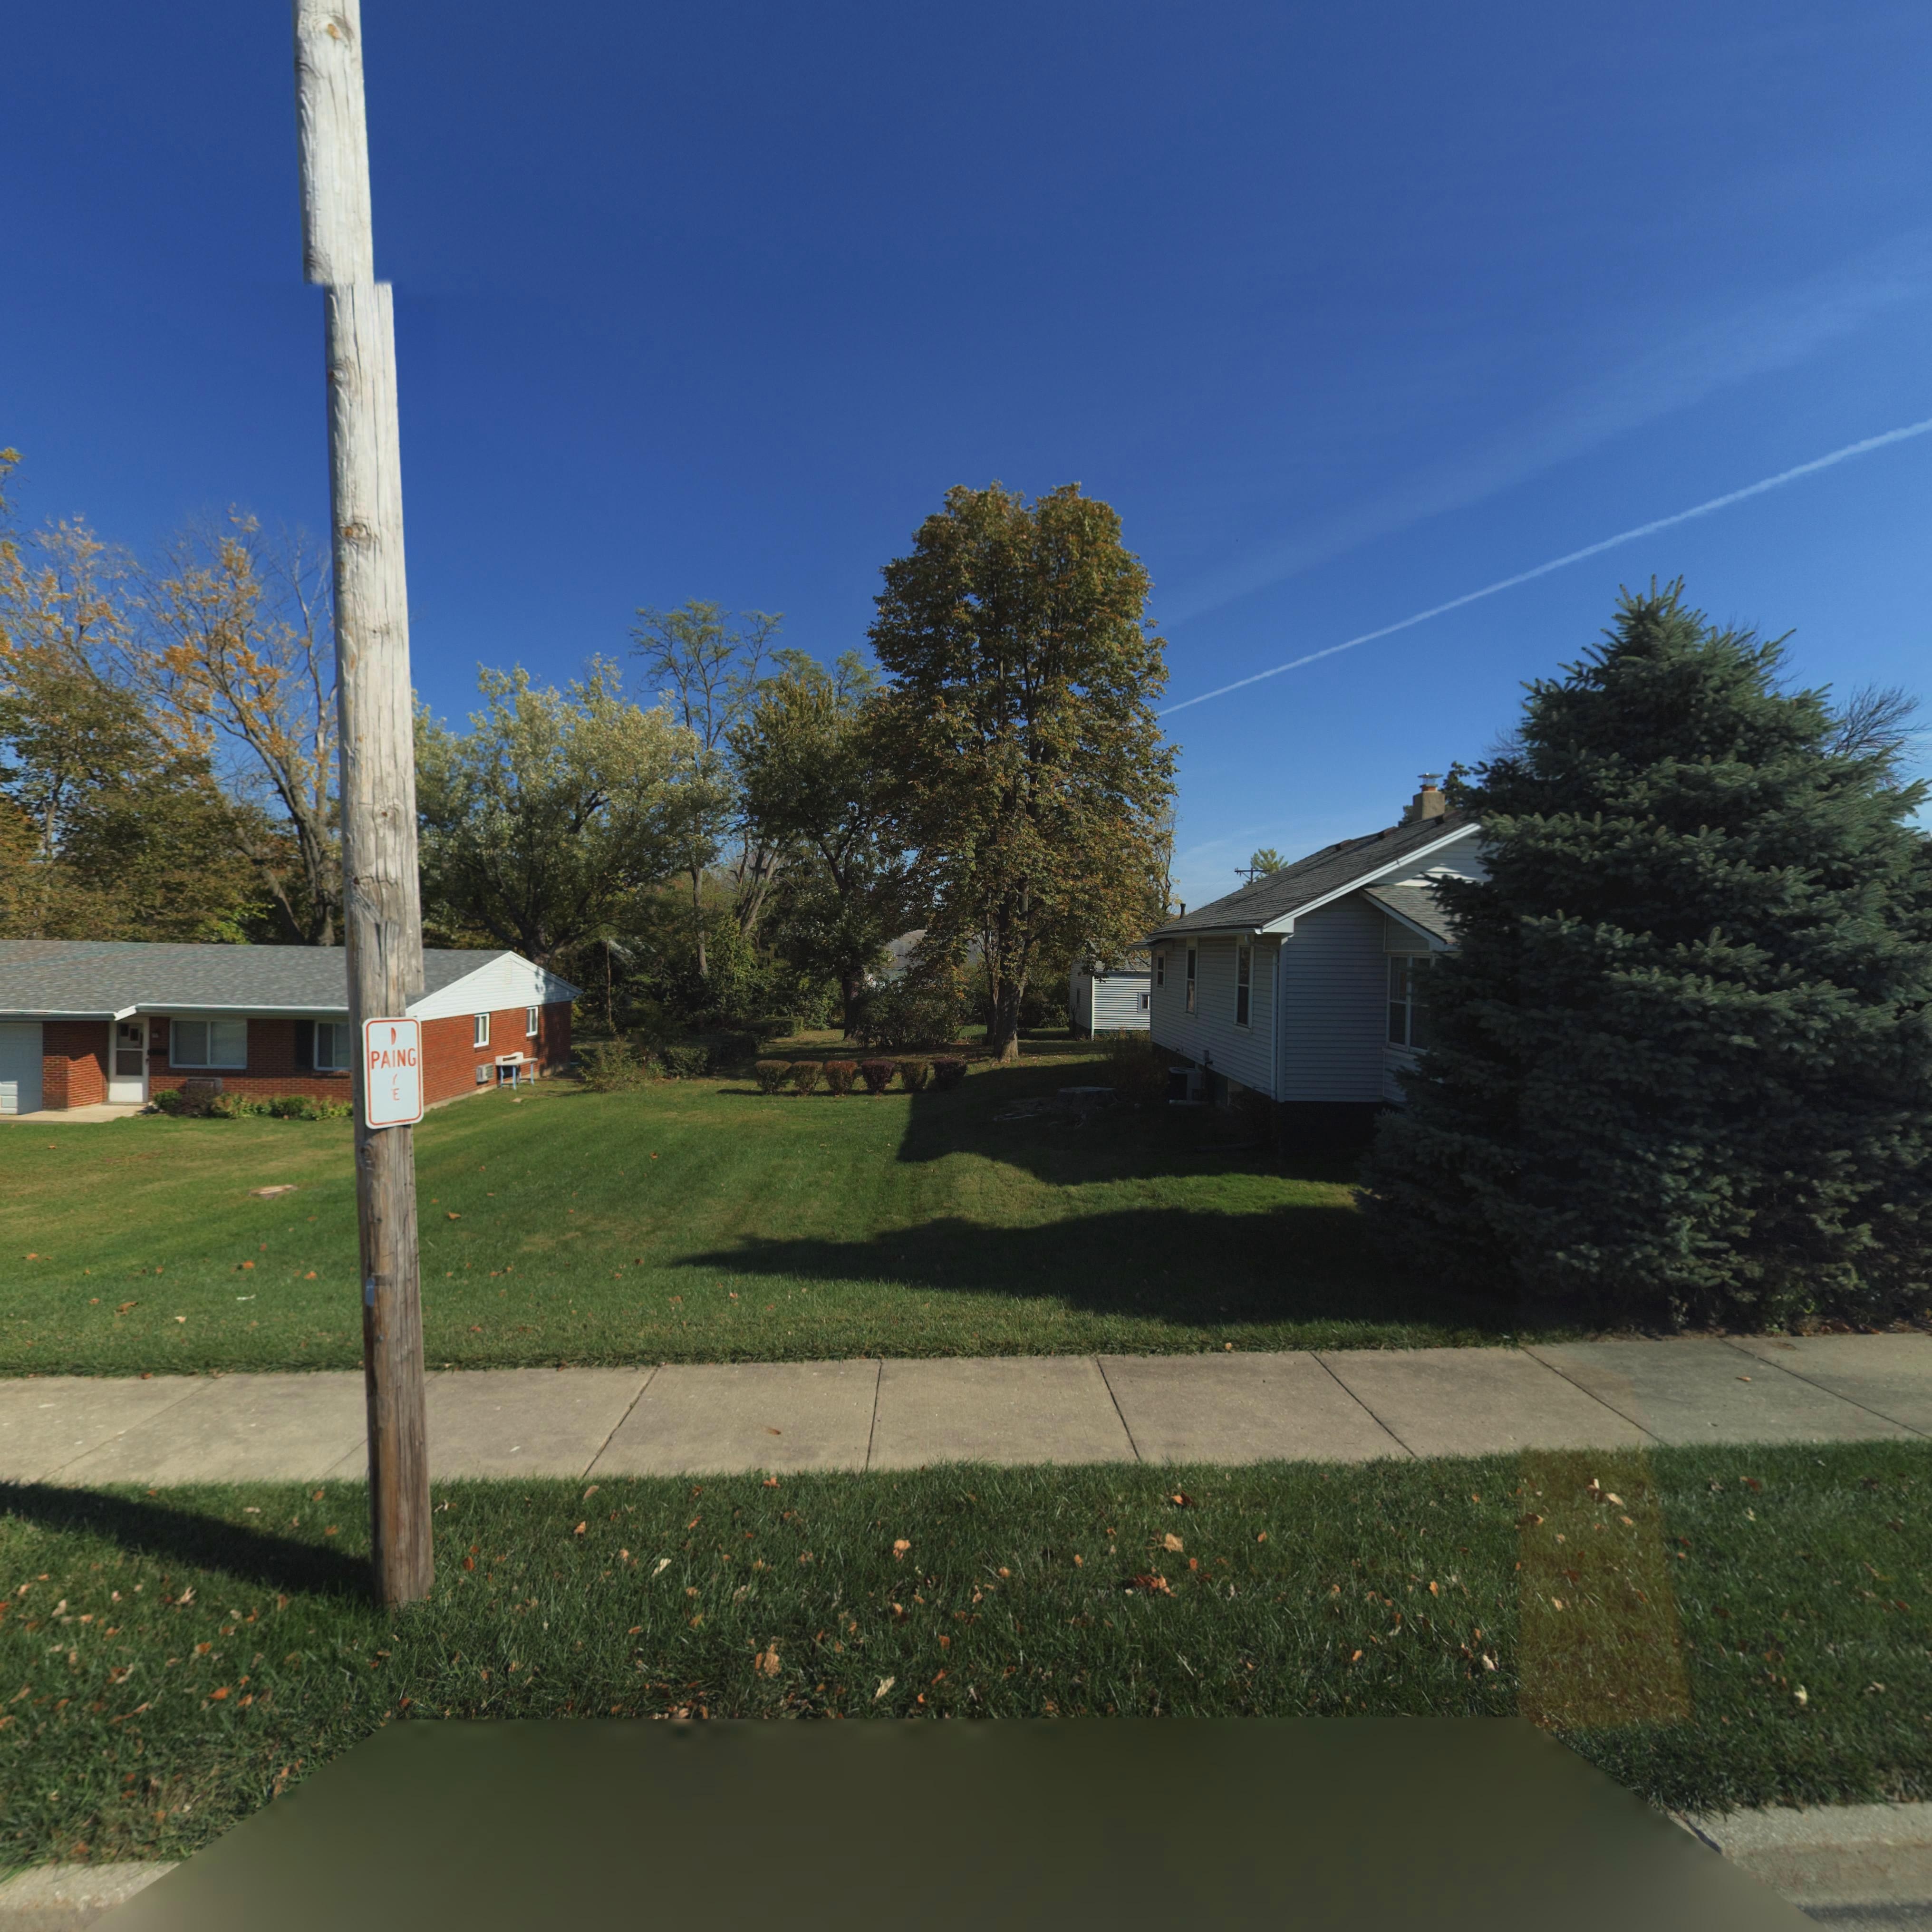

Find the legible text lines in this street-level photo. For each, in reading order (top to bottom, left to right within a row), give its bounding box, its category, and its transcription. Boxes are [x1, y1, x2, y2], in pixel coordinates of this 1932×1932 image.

[370, 1047, 418, 1071] None: PAING
[393, 1087, 401, 1101] None: E